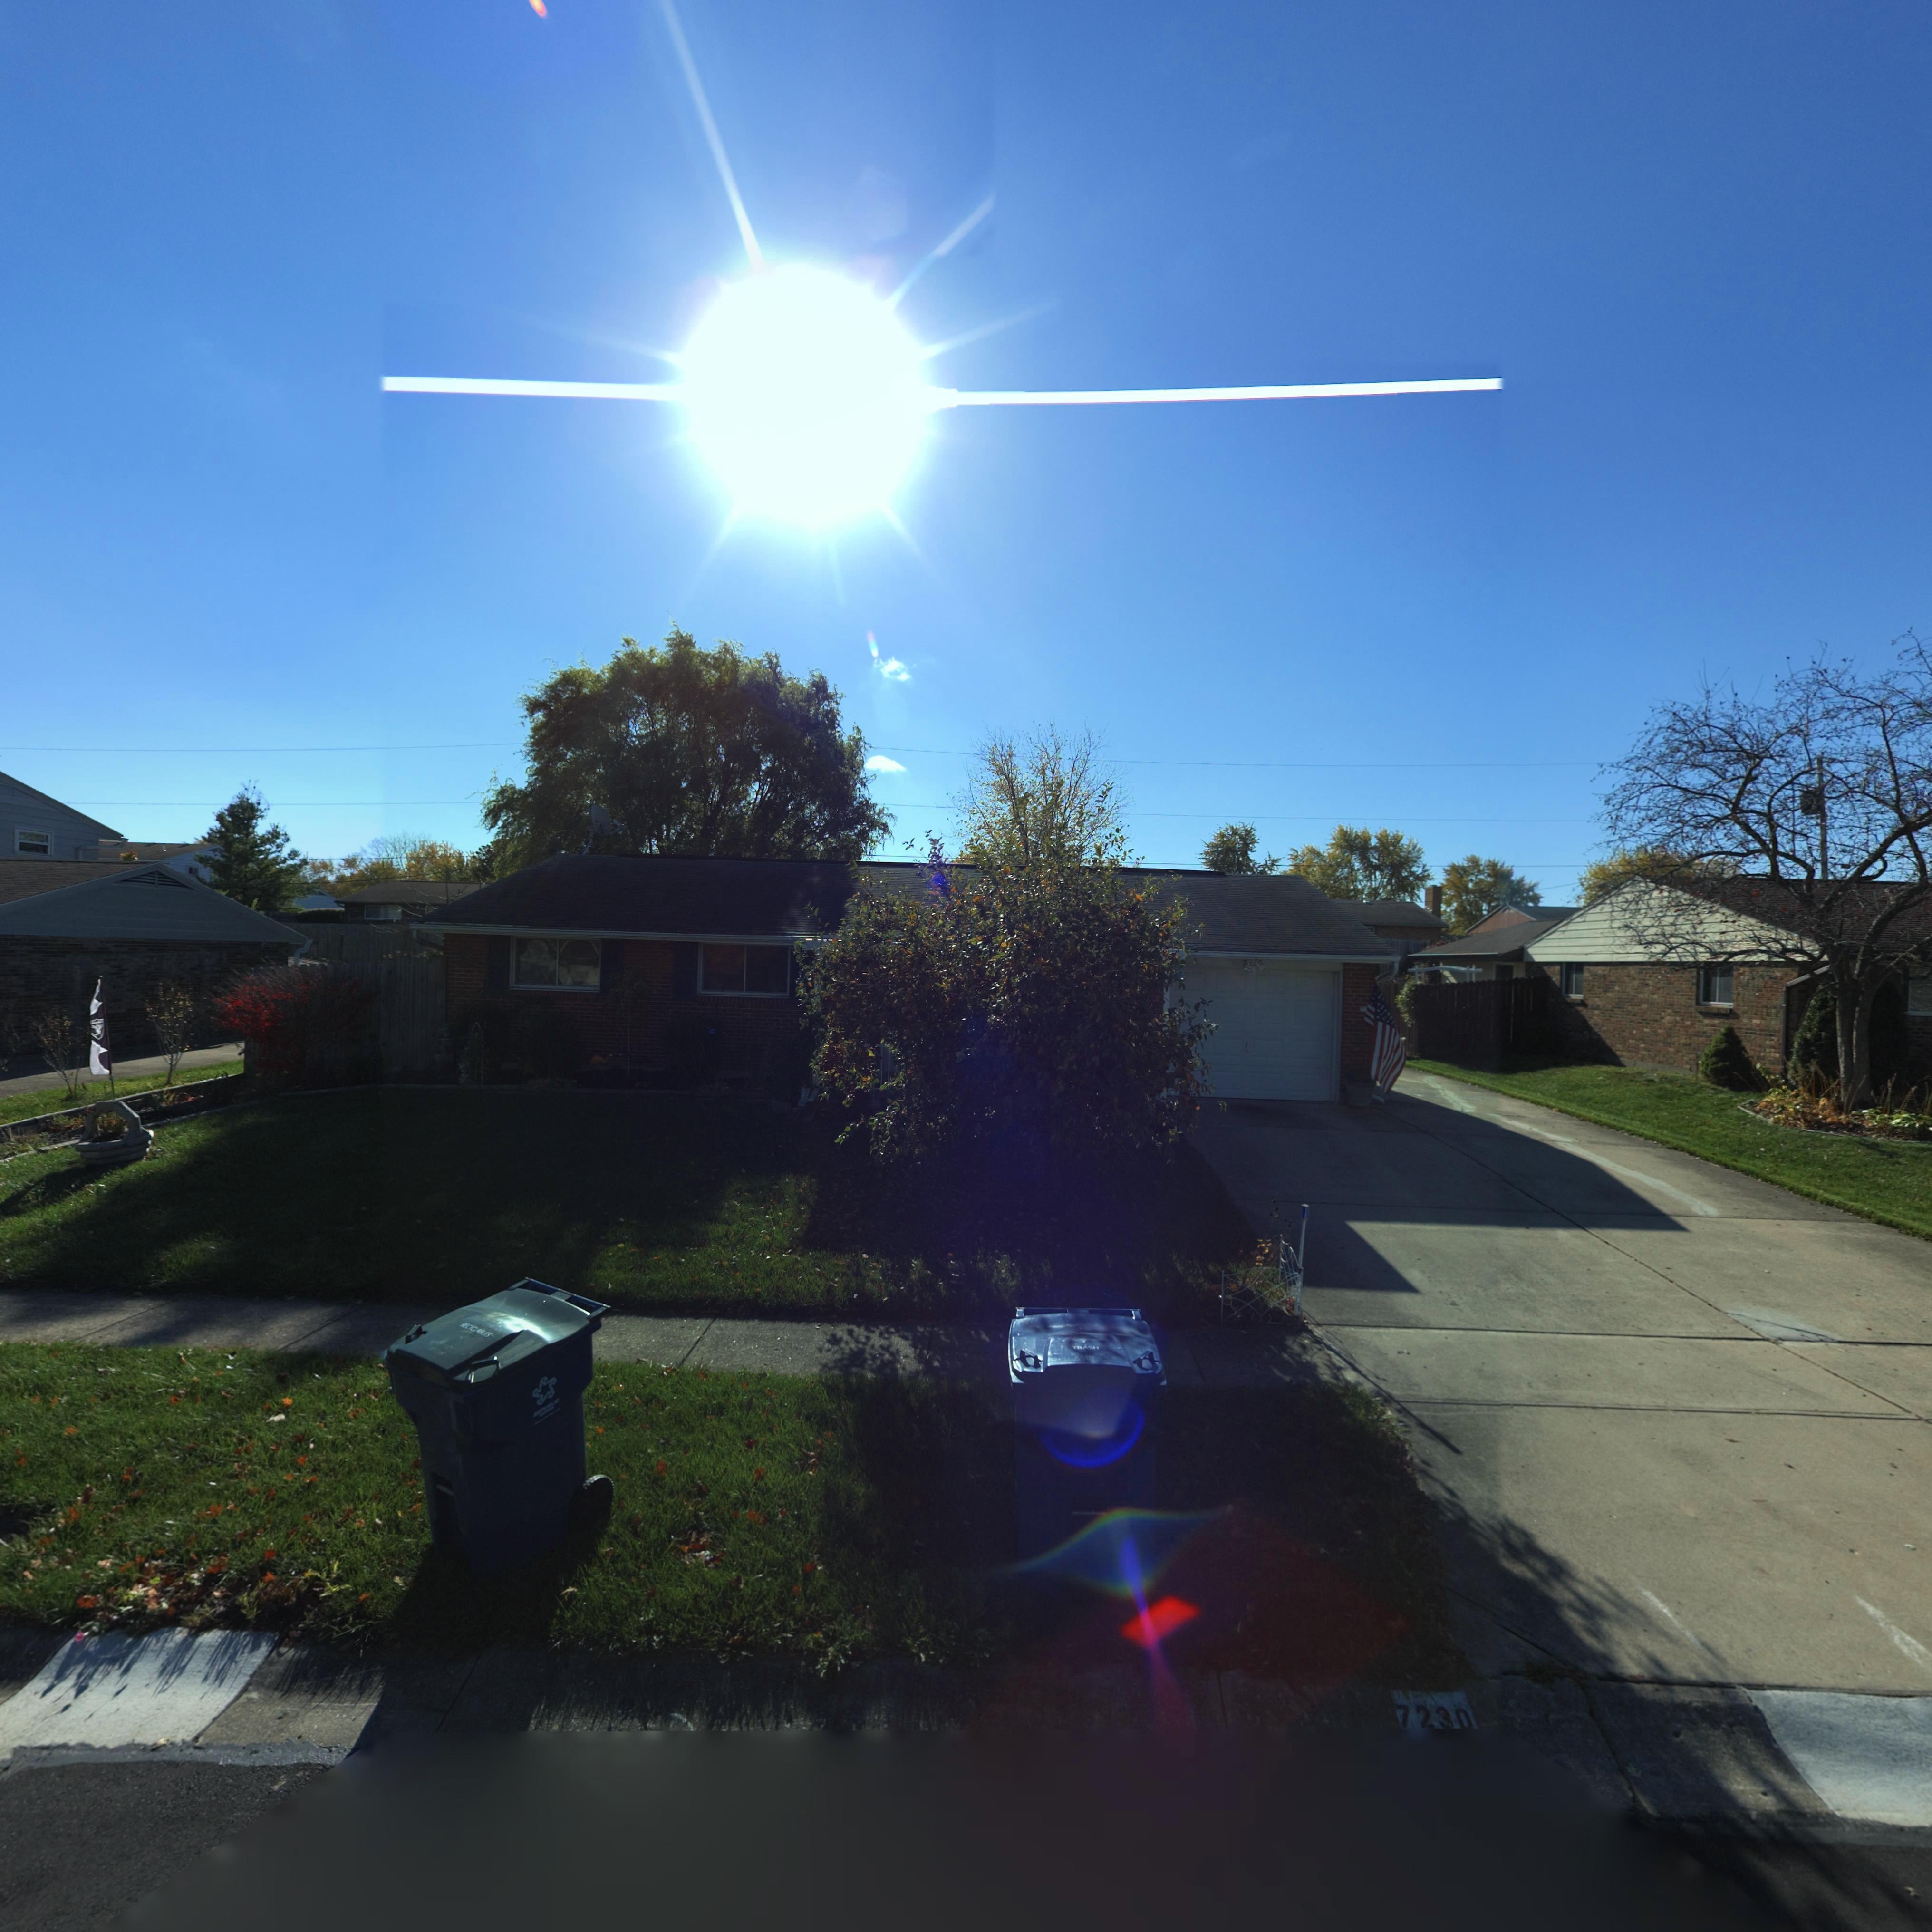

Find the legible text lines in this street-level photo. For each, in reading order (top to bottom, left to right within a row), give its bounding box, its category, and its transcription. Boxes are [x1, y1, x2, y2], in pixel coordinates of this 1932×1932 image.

[1241, 958, 1248, 967] StreetNumber: 7
[1392, 1702, 1477, 1731] StreetNumber: 7230